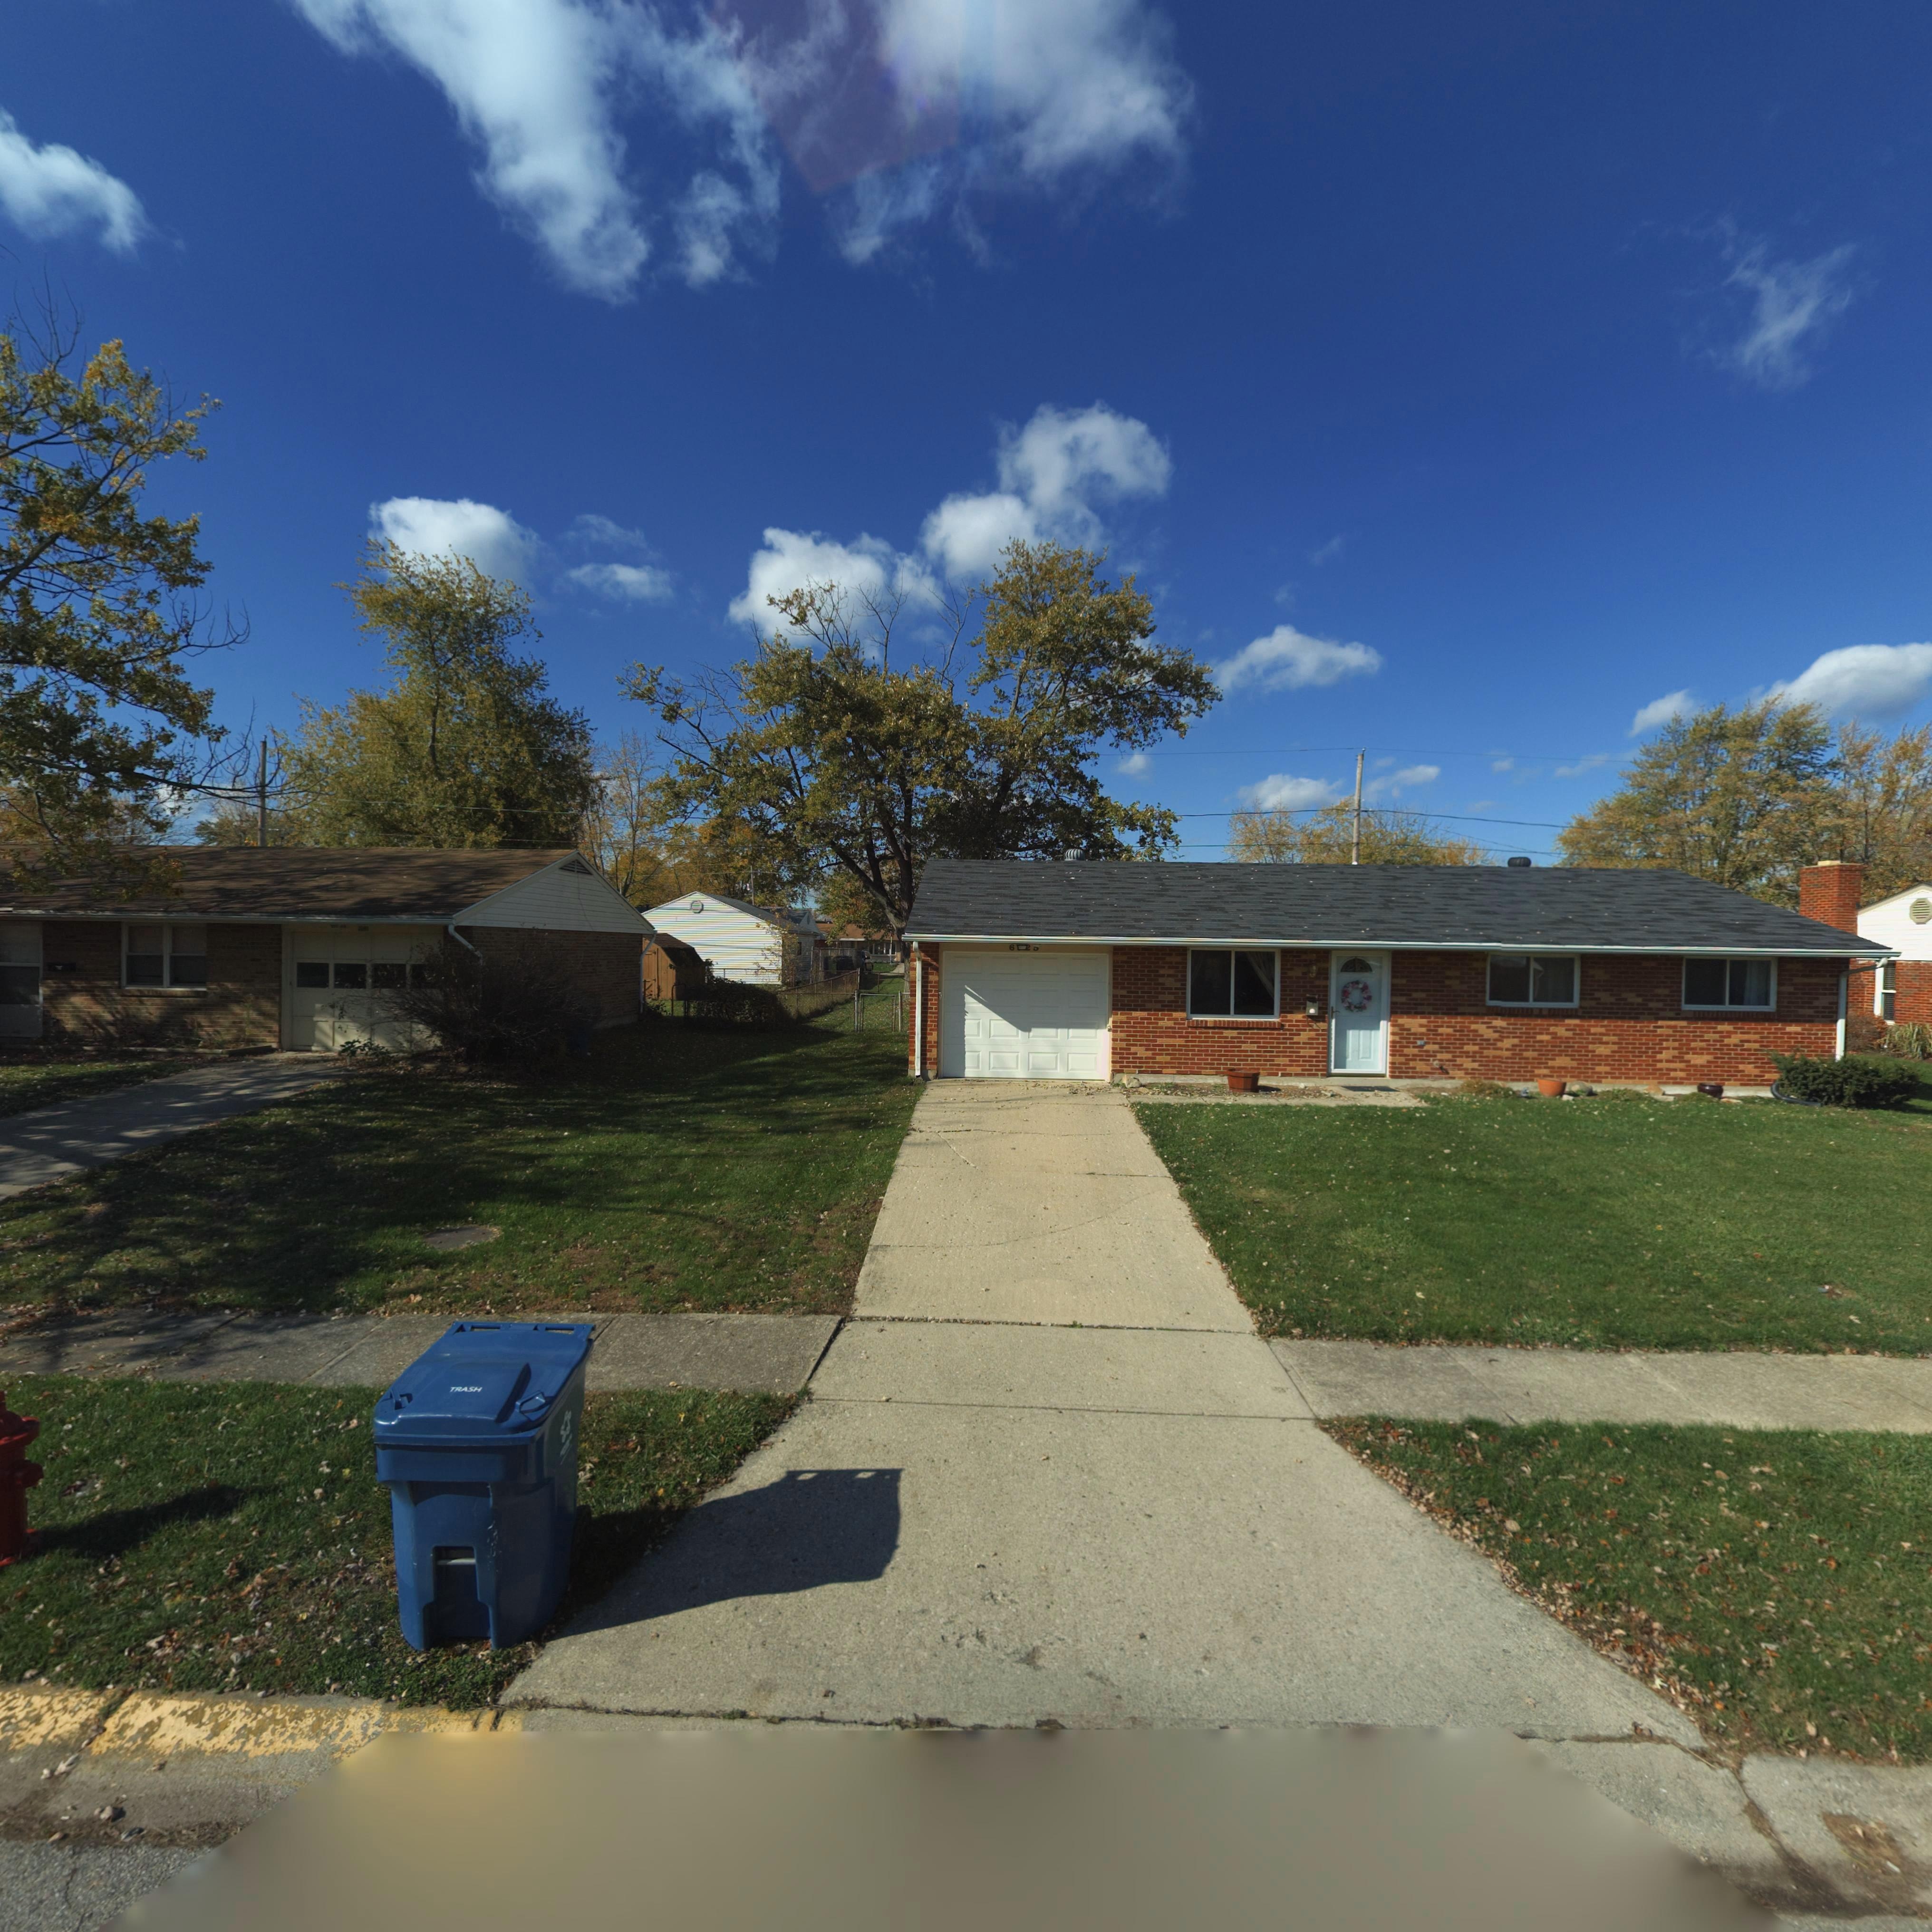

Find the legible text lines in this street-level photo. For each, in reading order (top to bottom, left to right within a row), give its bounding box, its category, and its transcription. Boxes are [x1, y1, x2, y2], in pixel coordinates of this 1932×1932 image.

[1008, 943, 1016, 952] StreetNumber: 6